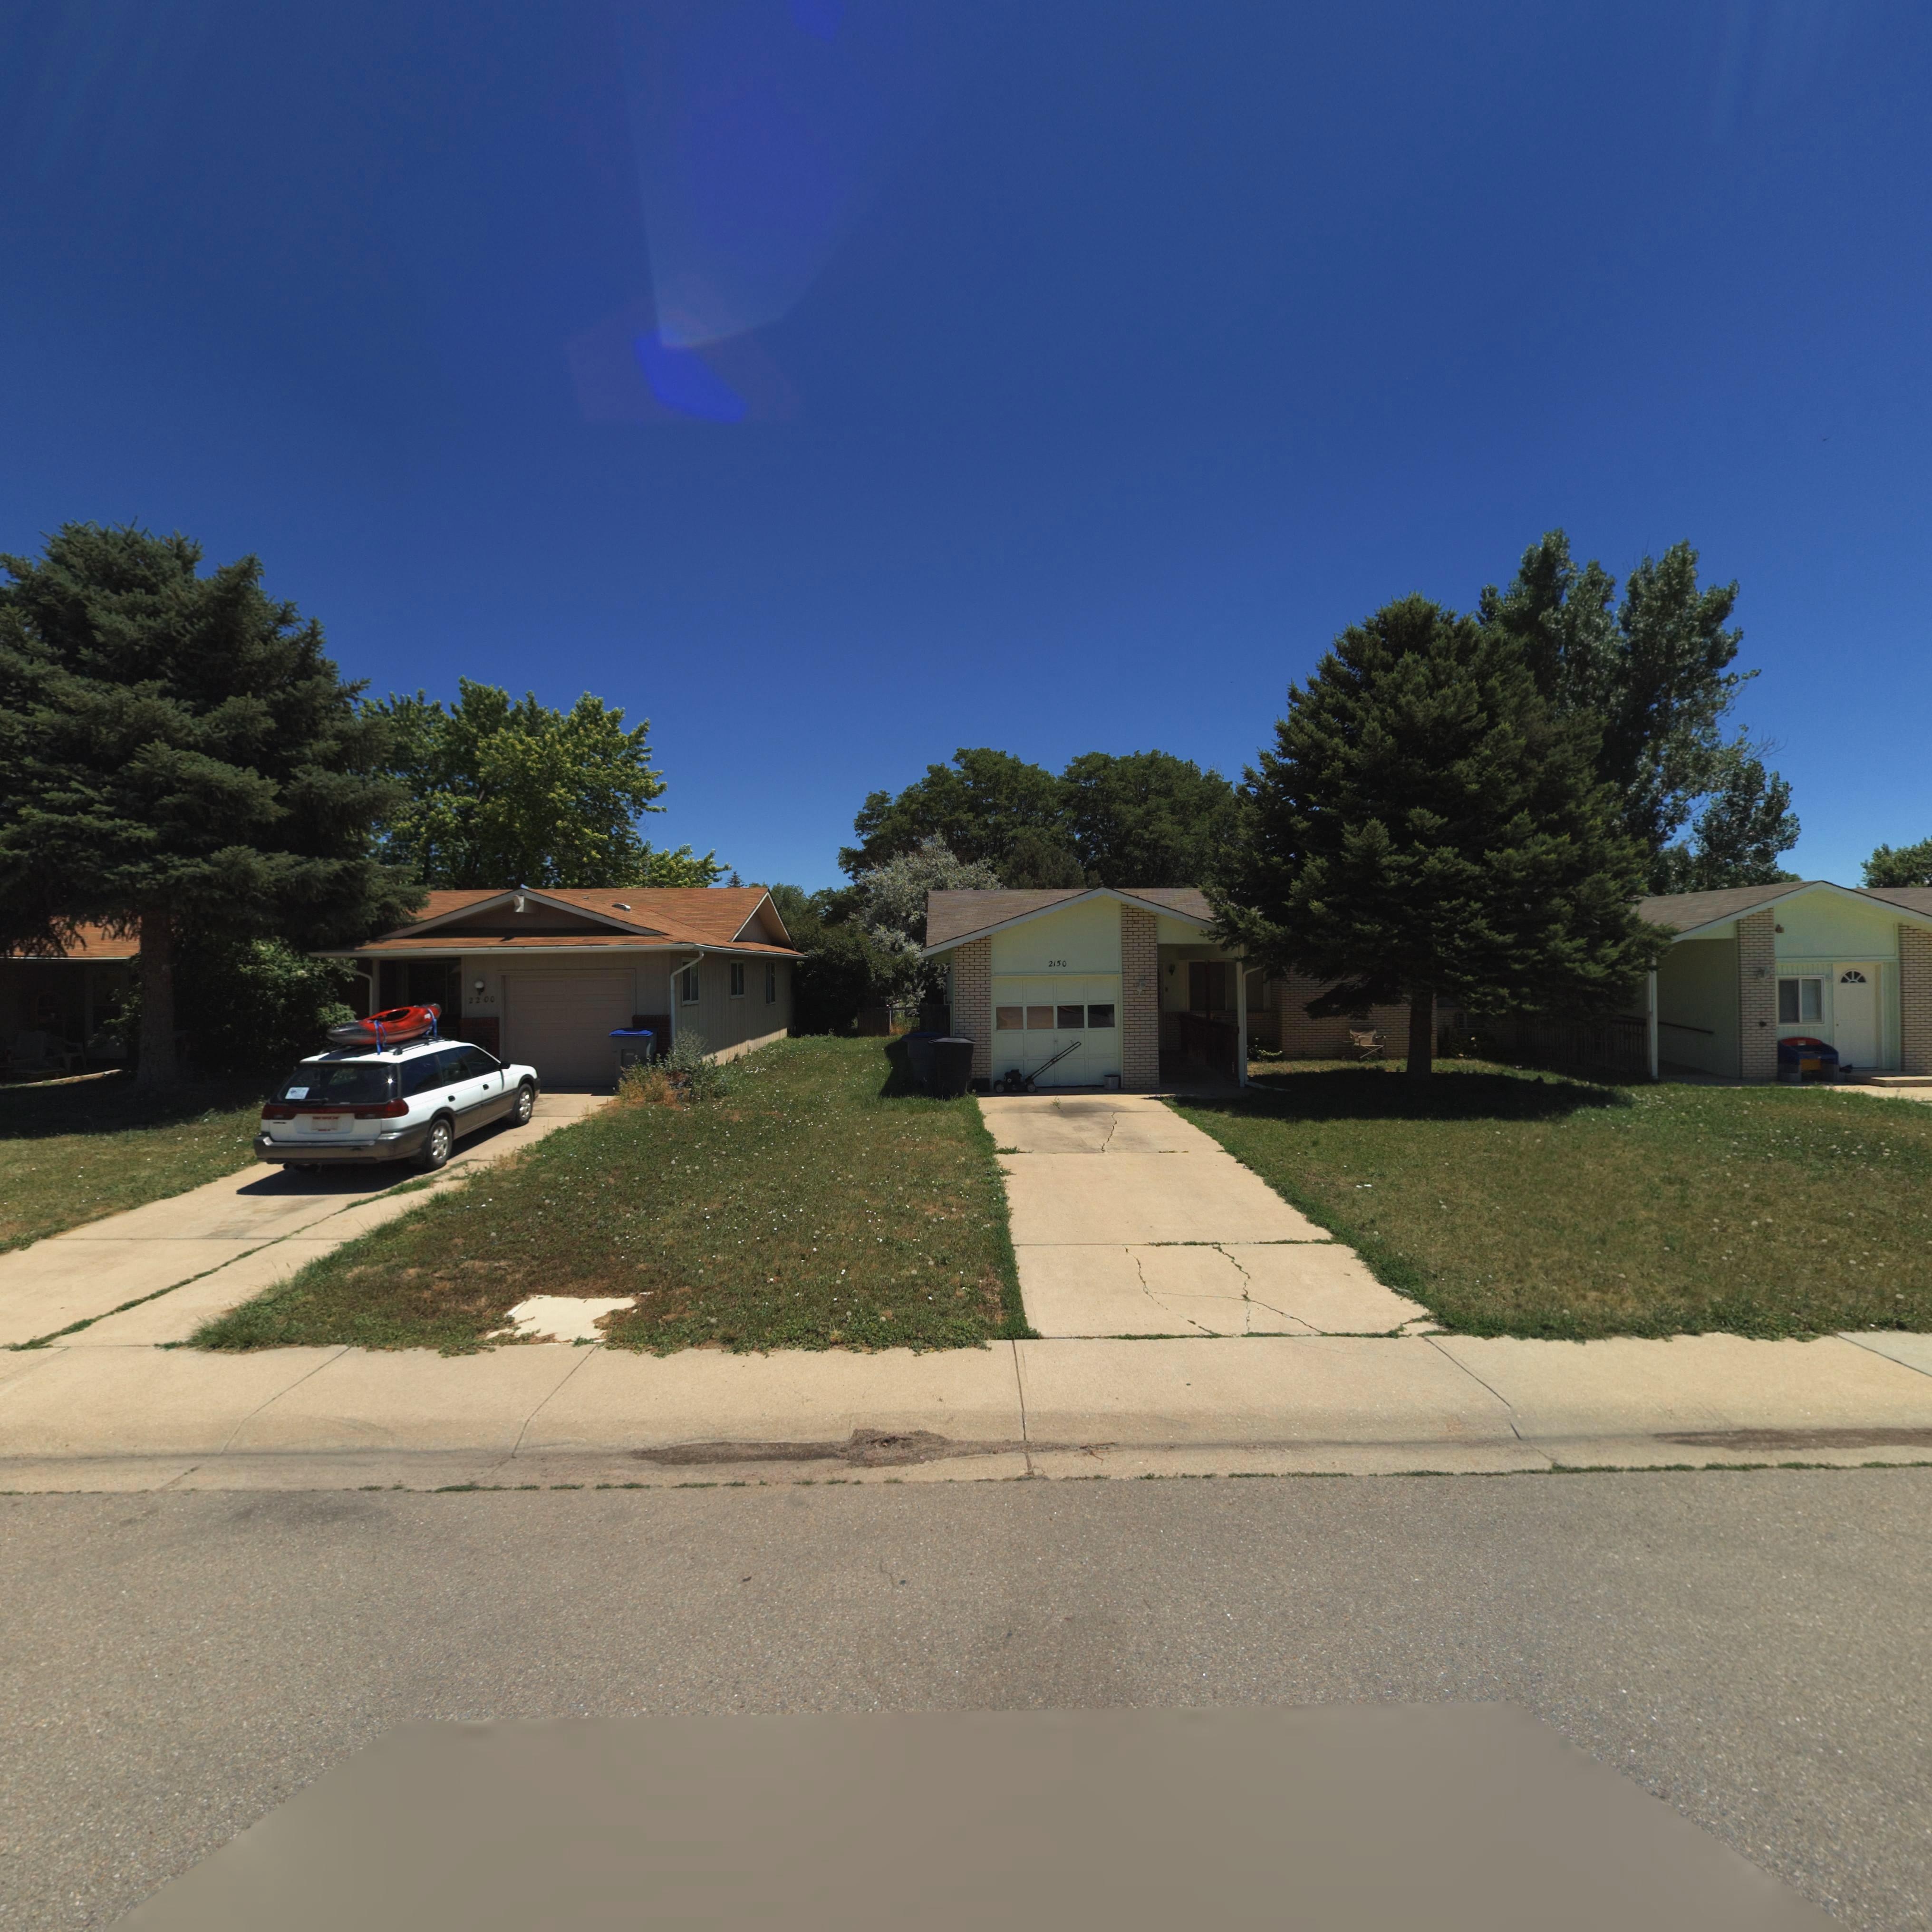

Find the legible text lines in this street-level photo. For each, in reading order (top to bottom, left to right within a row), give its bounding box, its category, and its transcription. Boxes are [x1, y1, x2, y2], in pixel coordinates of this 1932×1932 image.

[1048, 959, 1067, 967] StreetNumber: 2150
[467, 995, 495, 1004] StreetNumber: 2200